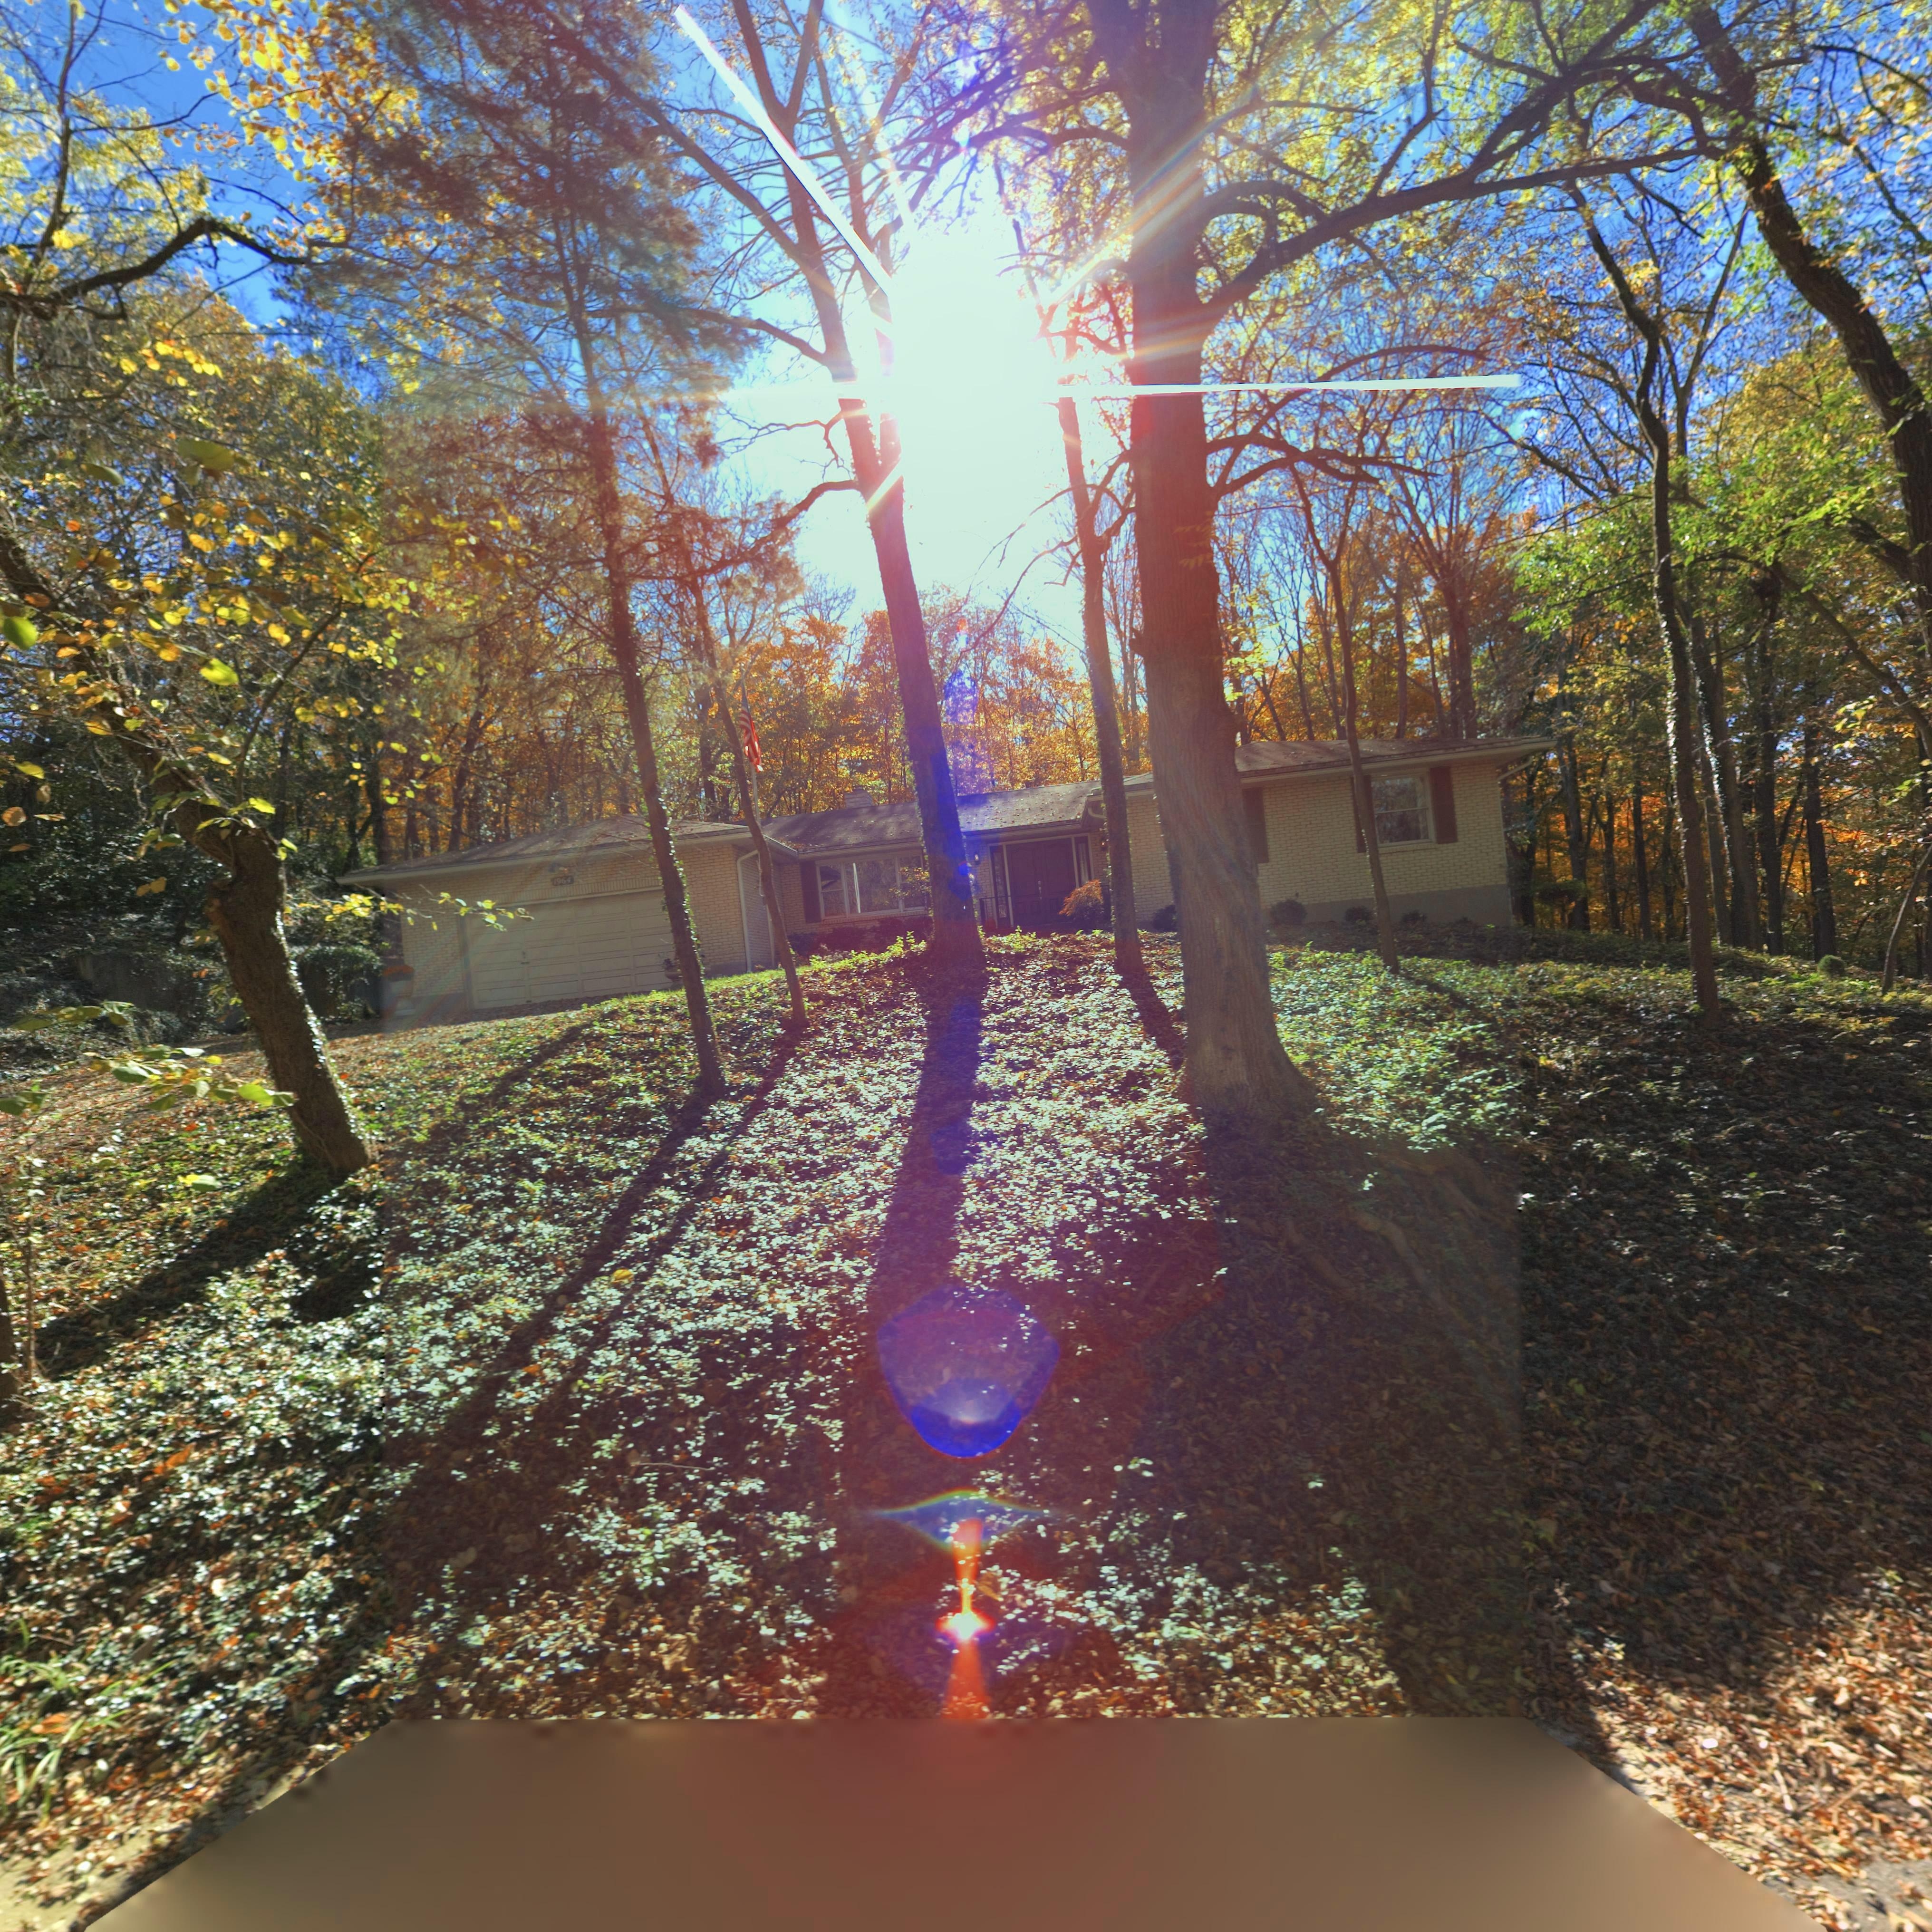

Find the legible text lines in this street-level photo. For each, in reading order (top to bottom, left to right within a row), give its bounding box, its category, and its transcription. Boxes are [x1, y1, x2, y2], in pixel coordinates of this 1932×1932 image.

[553, 875, 572, 886] StreetNumber: 1964